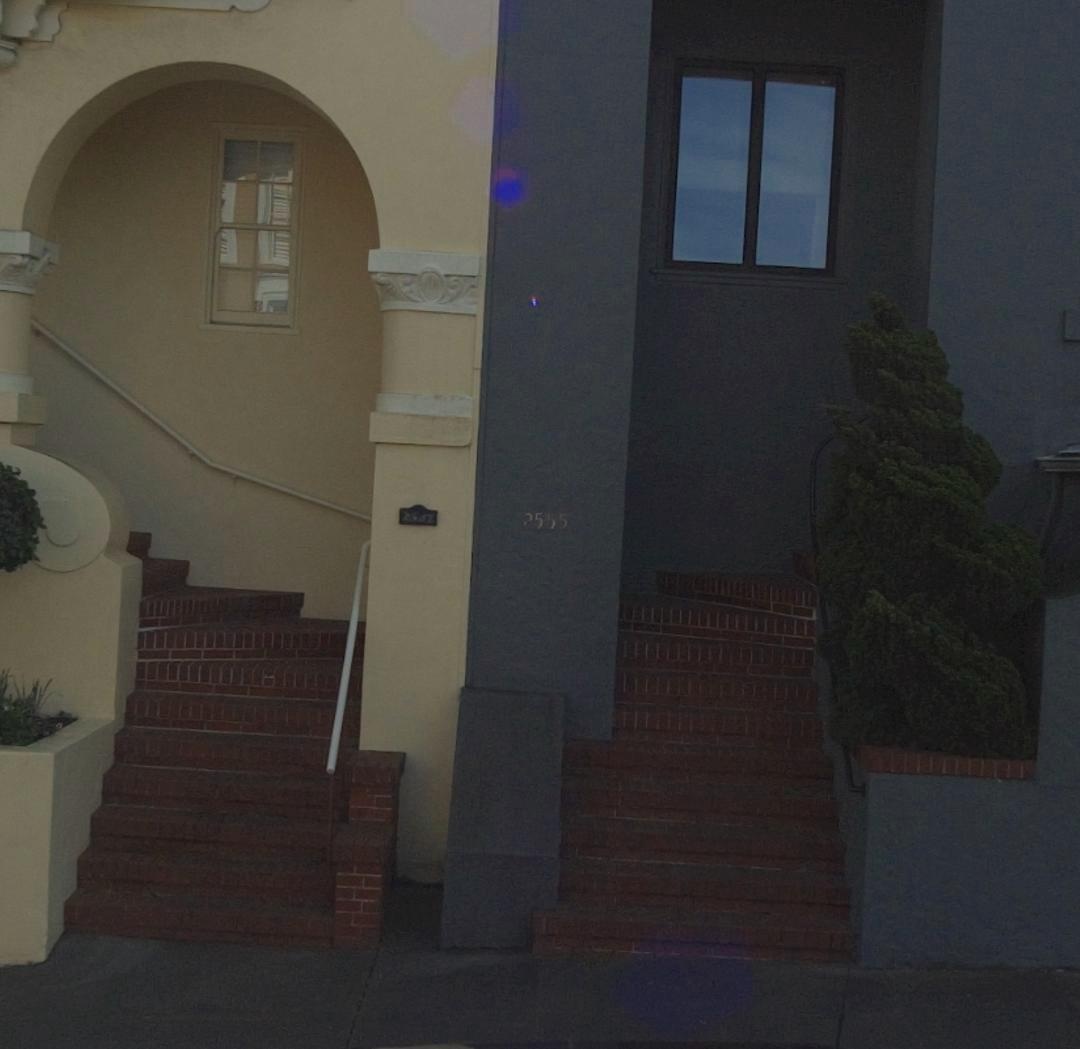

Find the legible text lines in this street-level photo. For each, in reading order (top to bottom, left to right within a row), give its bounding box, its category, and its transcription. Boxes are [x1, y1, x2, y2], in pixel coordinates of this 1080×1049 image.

[520, 510, 570, 534] StreetNumber: *555